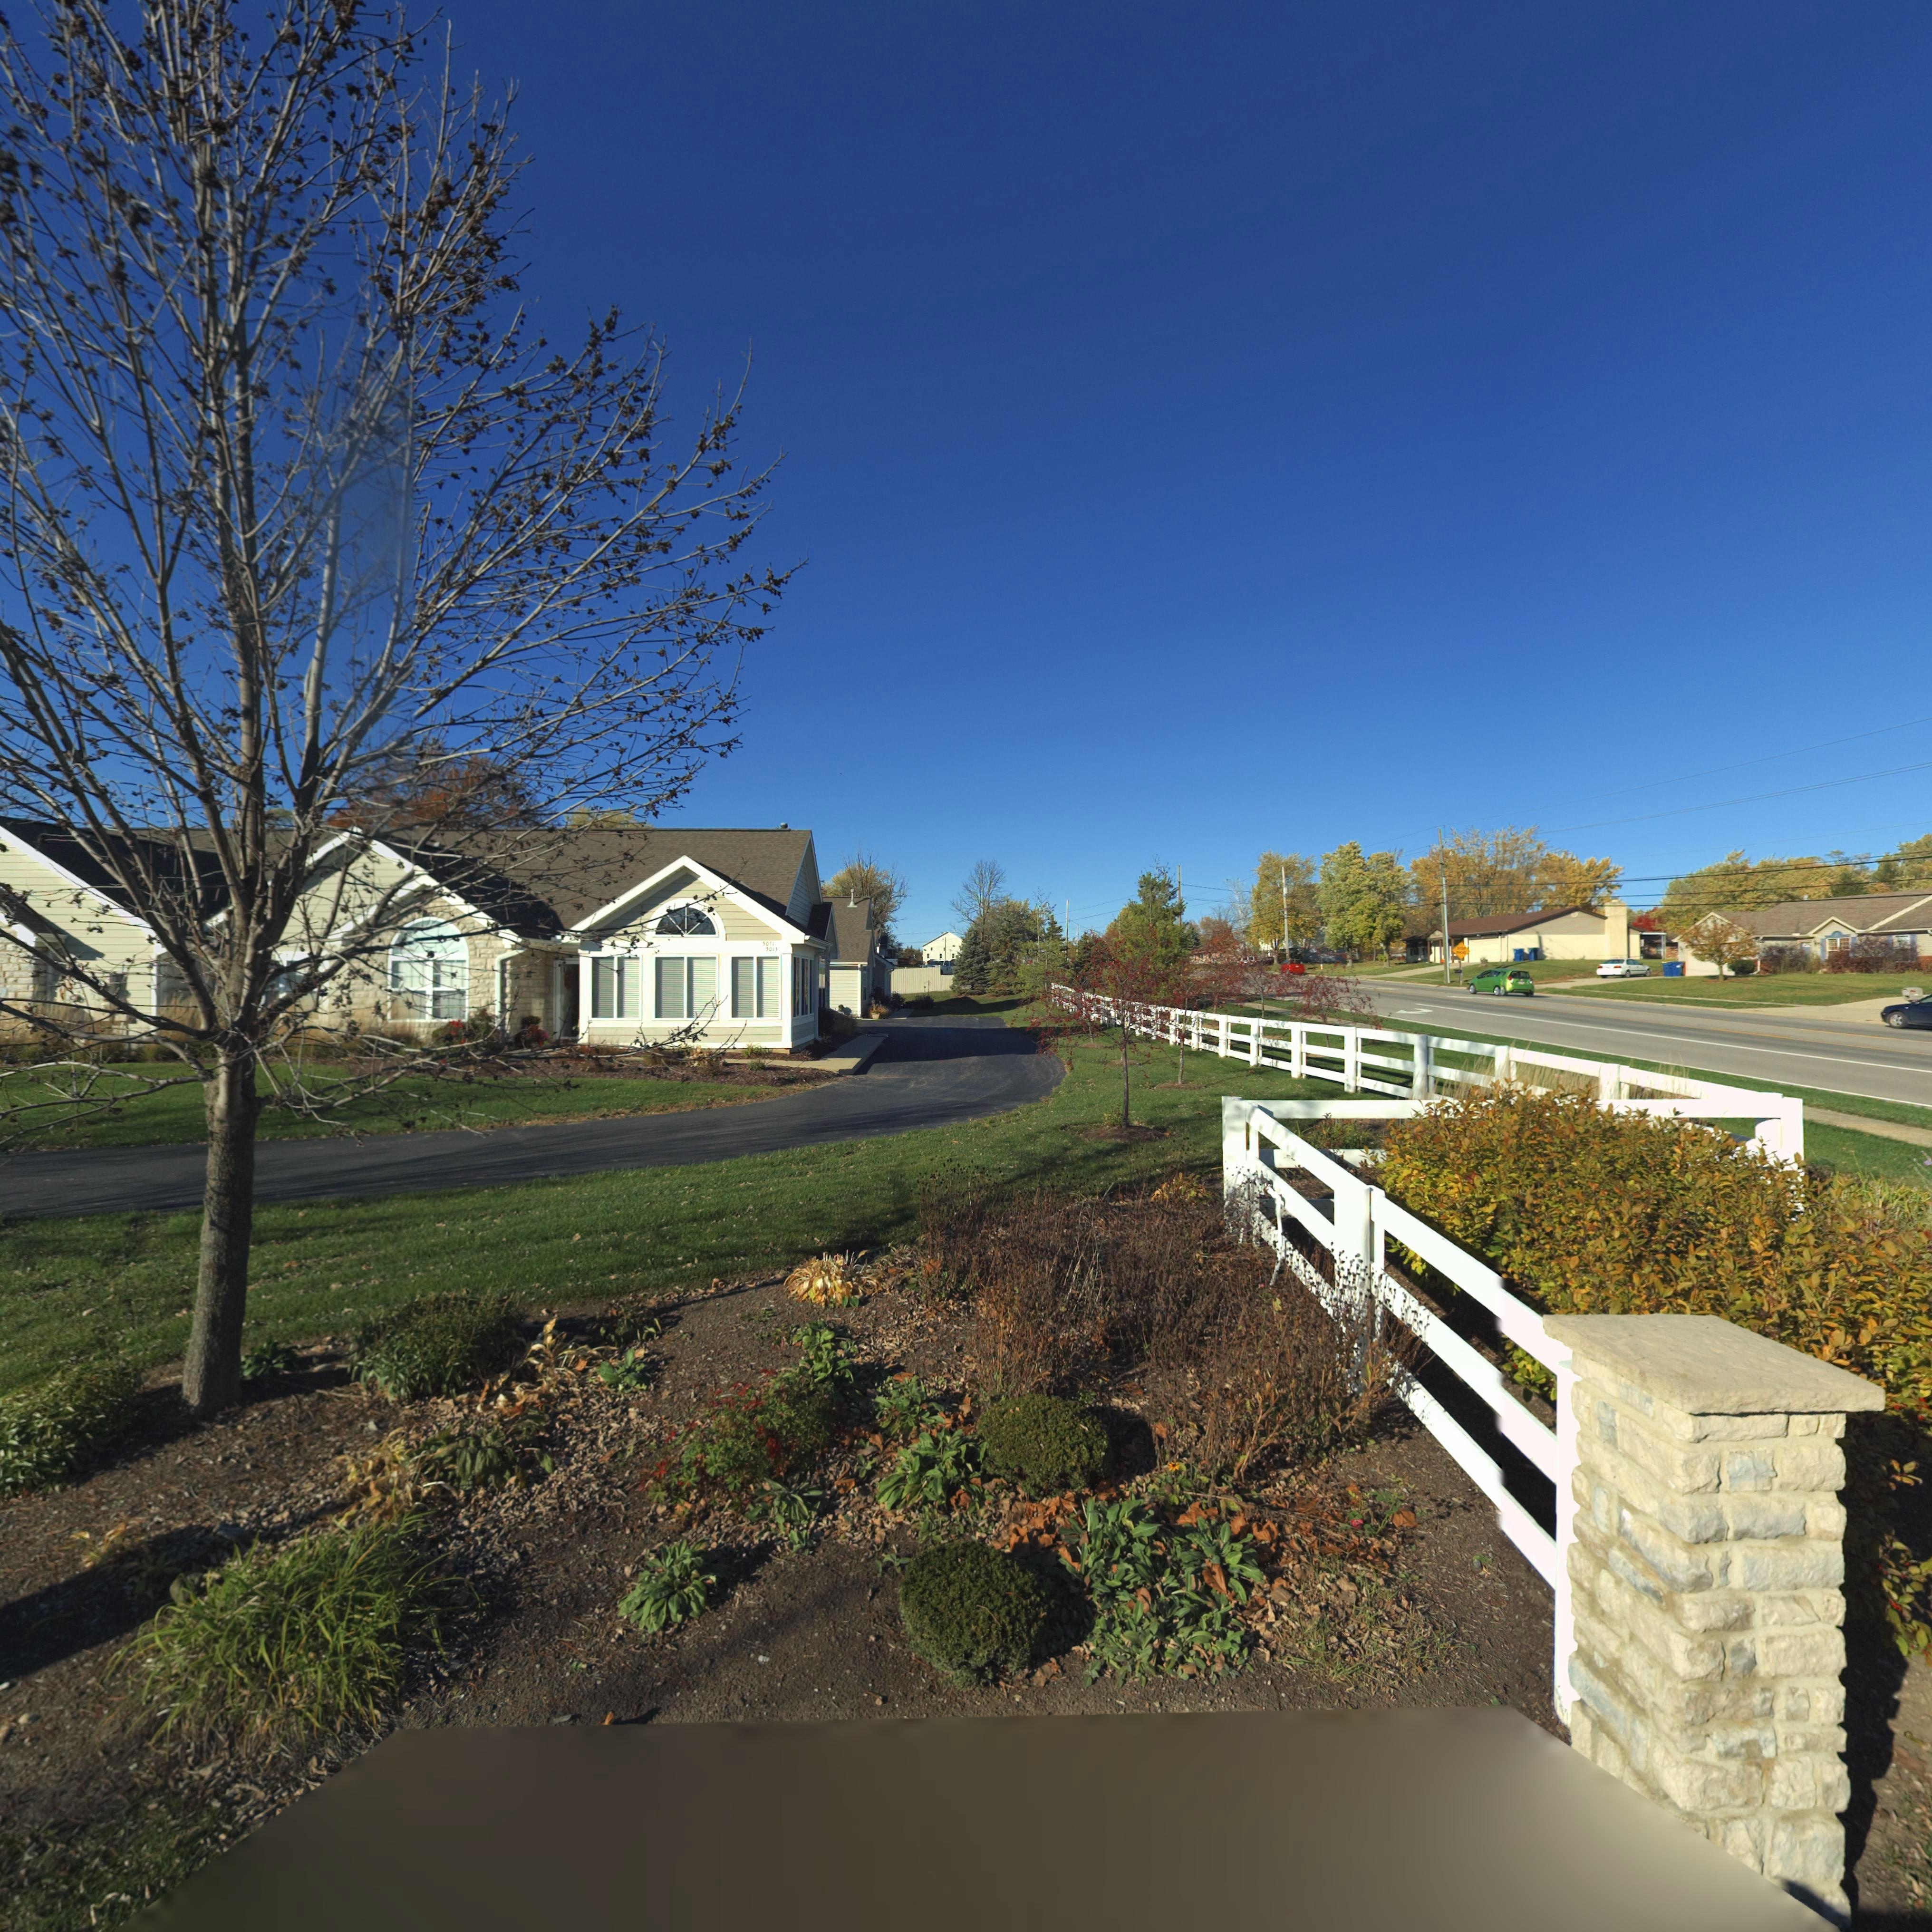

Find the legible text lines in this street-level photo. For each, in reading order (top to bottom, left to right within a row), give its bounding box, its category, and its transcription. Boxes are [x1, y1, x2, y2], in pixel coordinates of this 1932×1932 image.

[762, 940, 776, 947] StreetNumber: 5011
[764, 946, 779, 953] StreetNumber: *01*